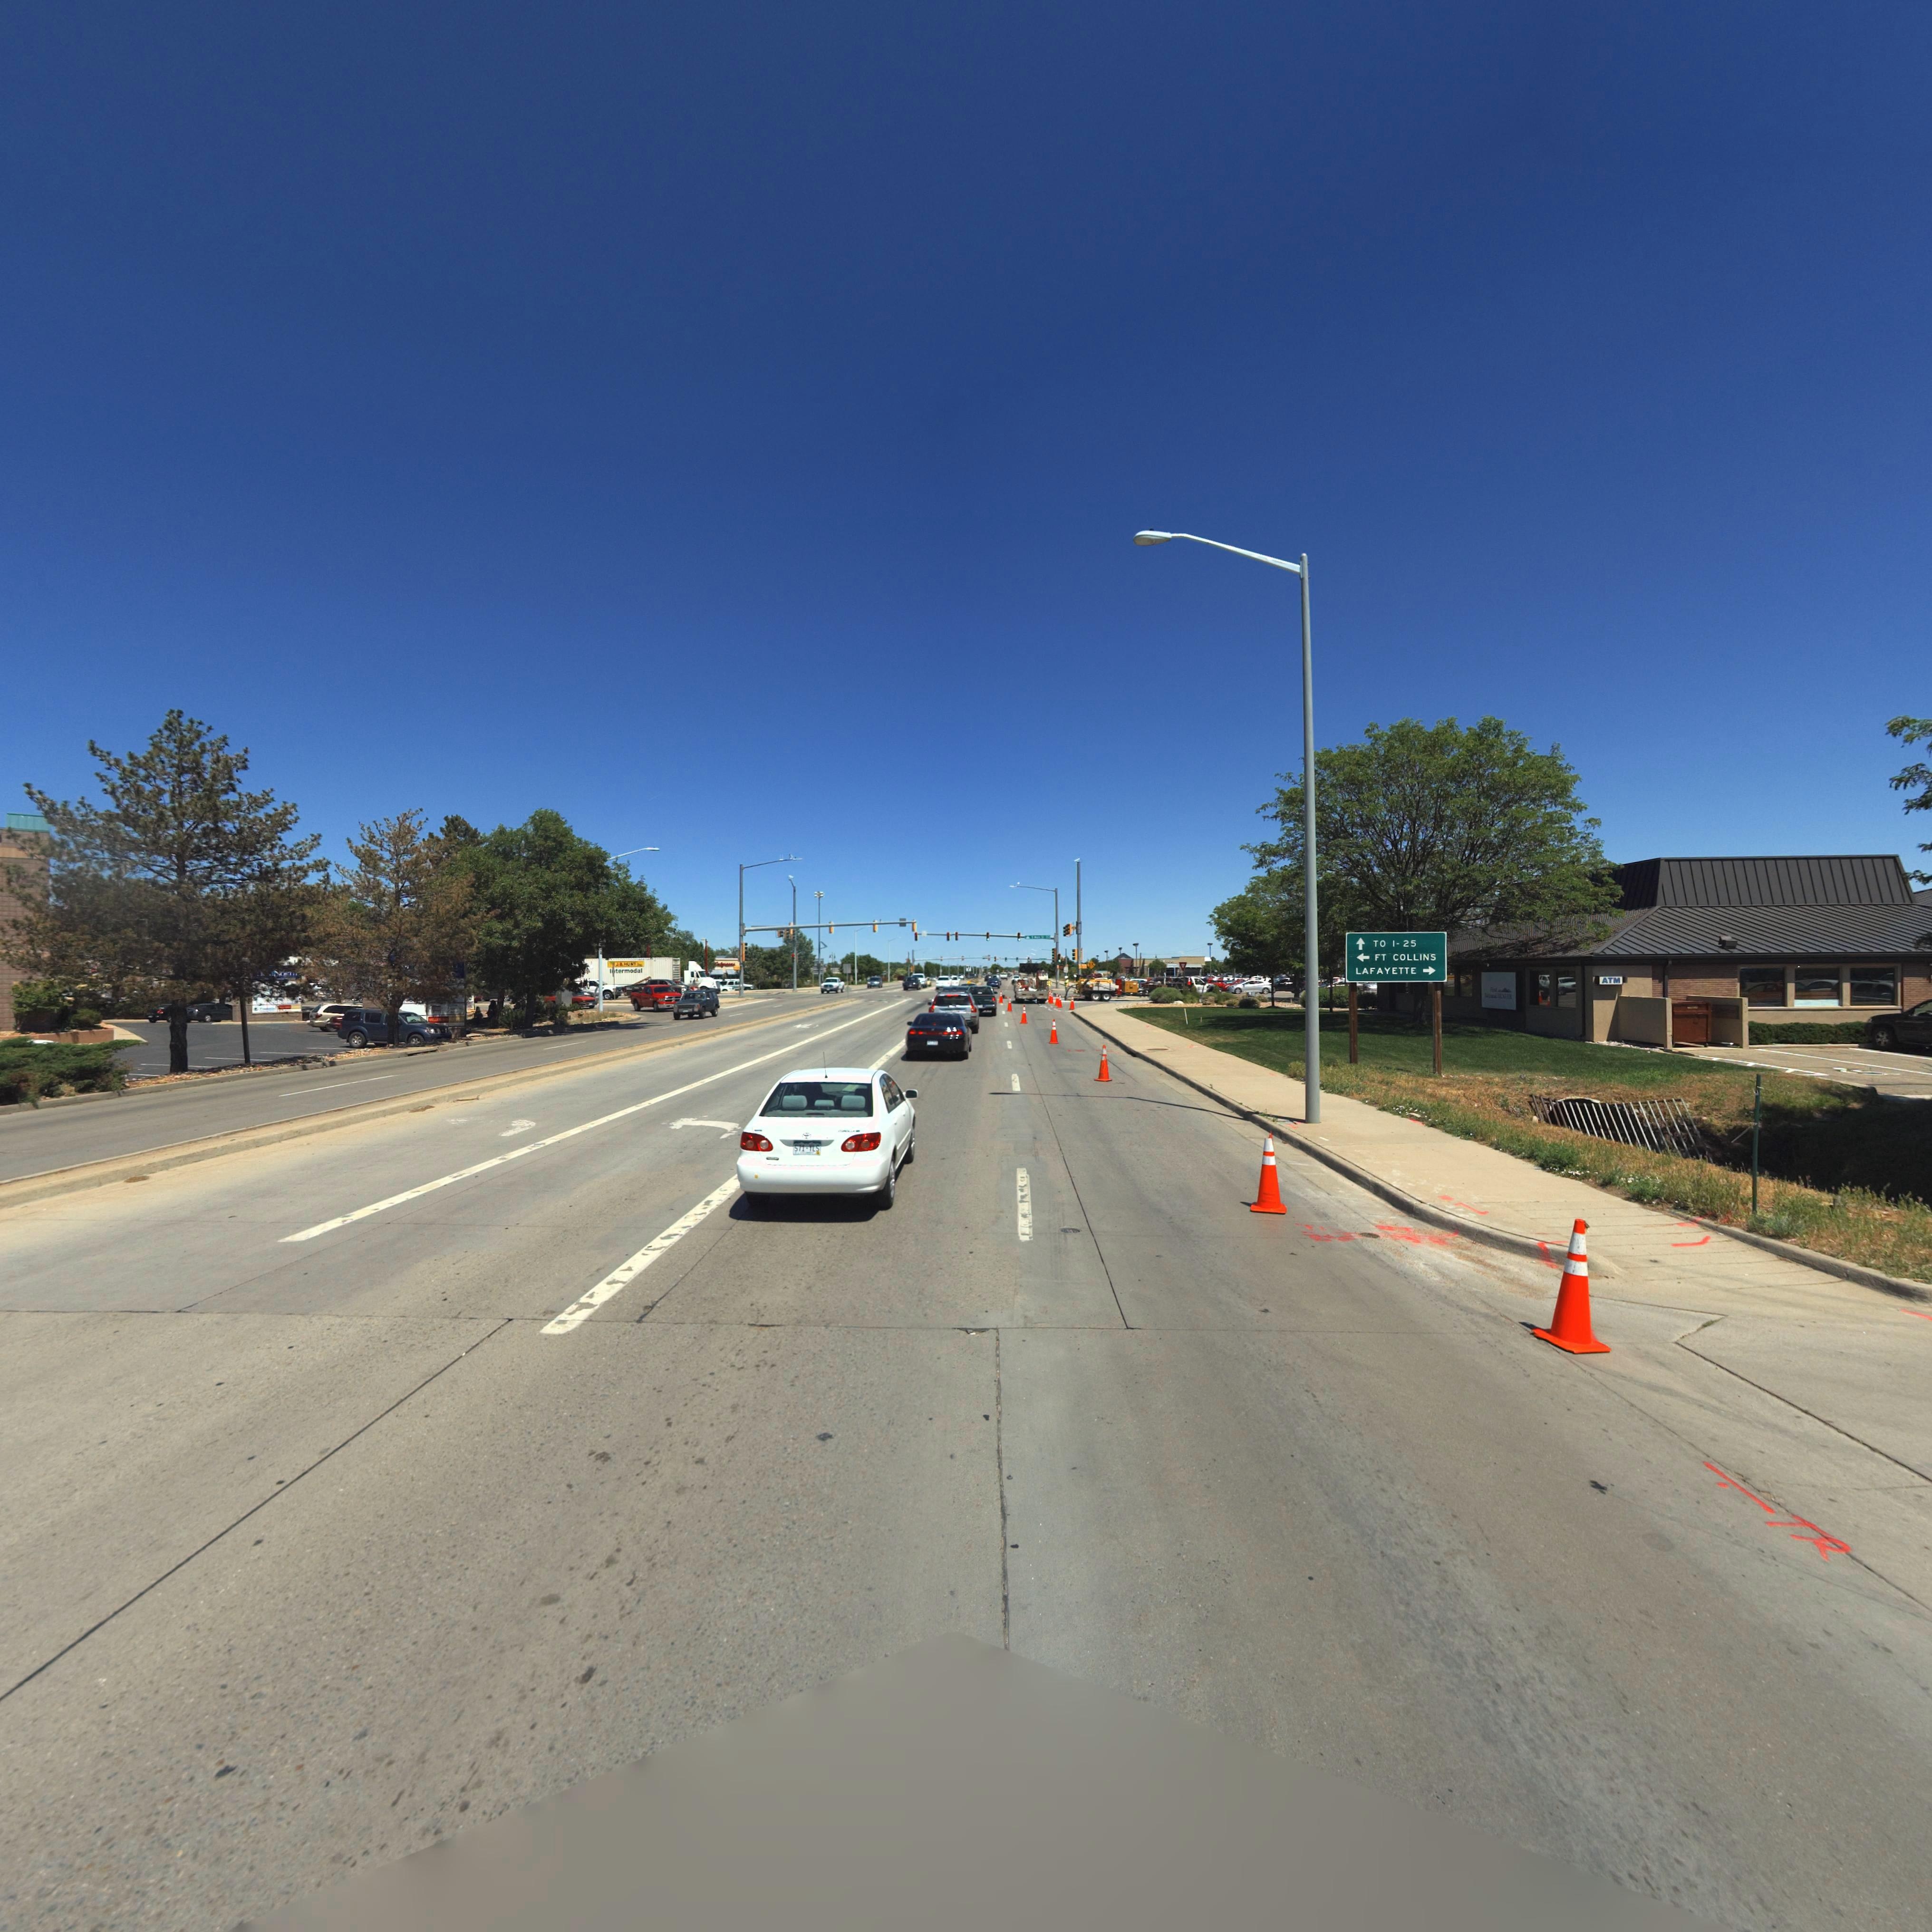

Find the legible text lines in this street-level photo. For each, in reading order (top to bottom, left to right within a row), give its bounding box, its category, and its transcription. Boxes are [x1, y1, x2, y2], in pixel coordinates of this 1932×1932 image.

[713, 961, 736, 968] BusinessName: **al******
[1490, 986, 1497, 992] BusinessName: F****
[1484, 992, 1513, 999] BusinessName: ******** DEN***